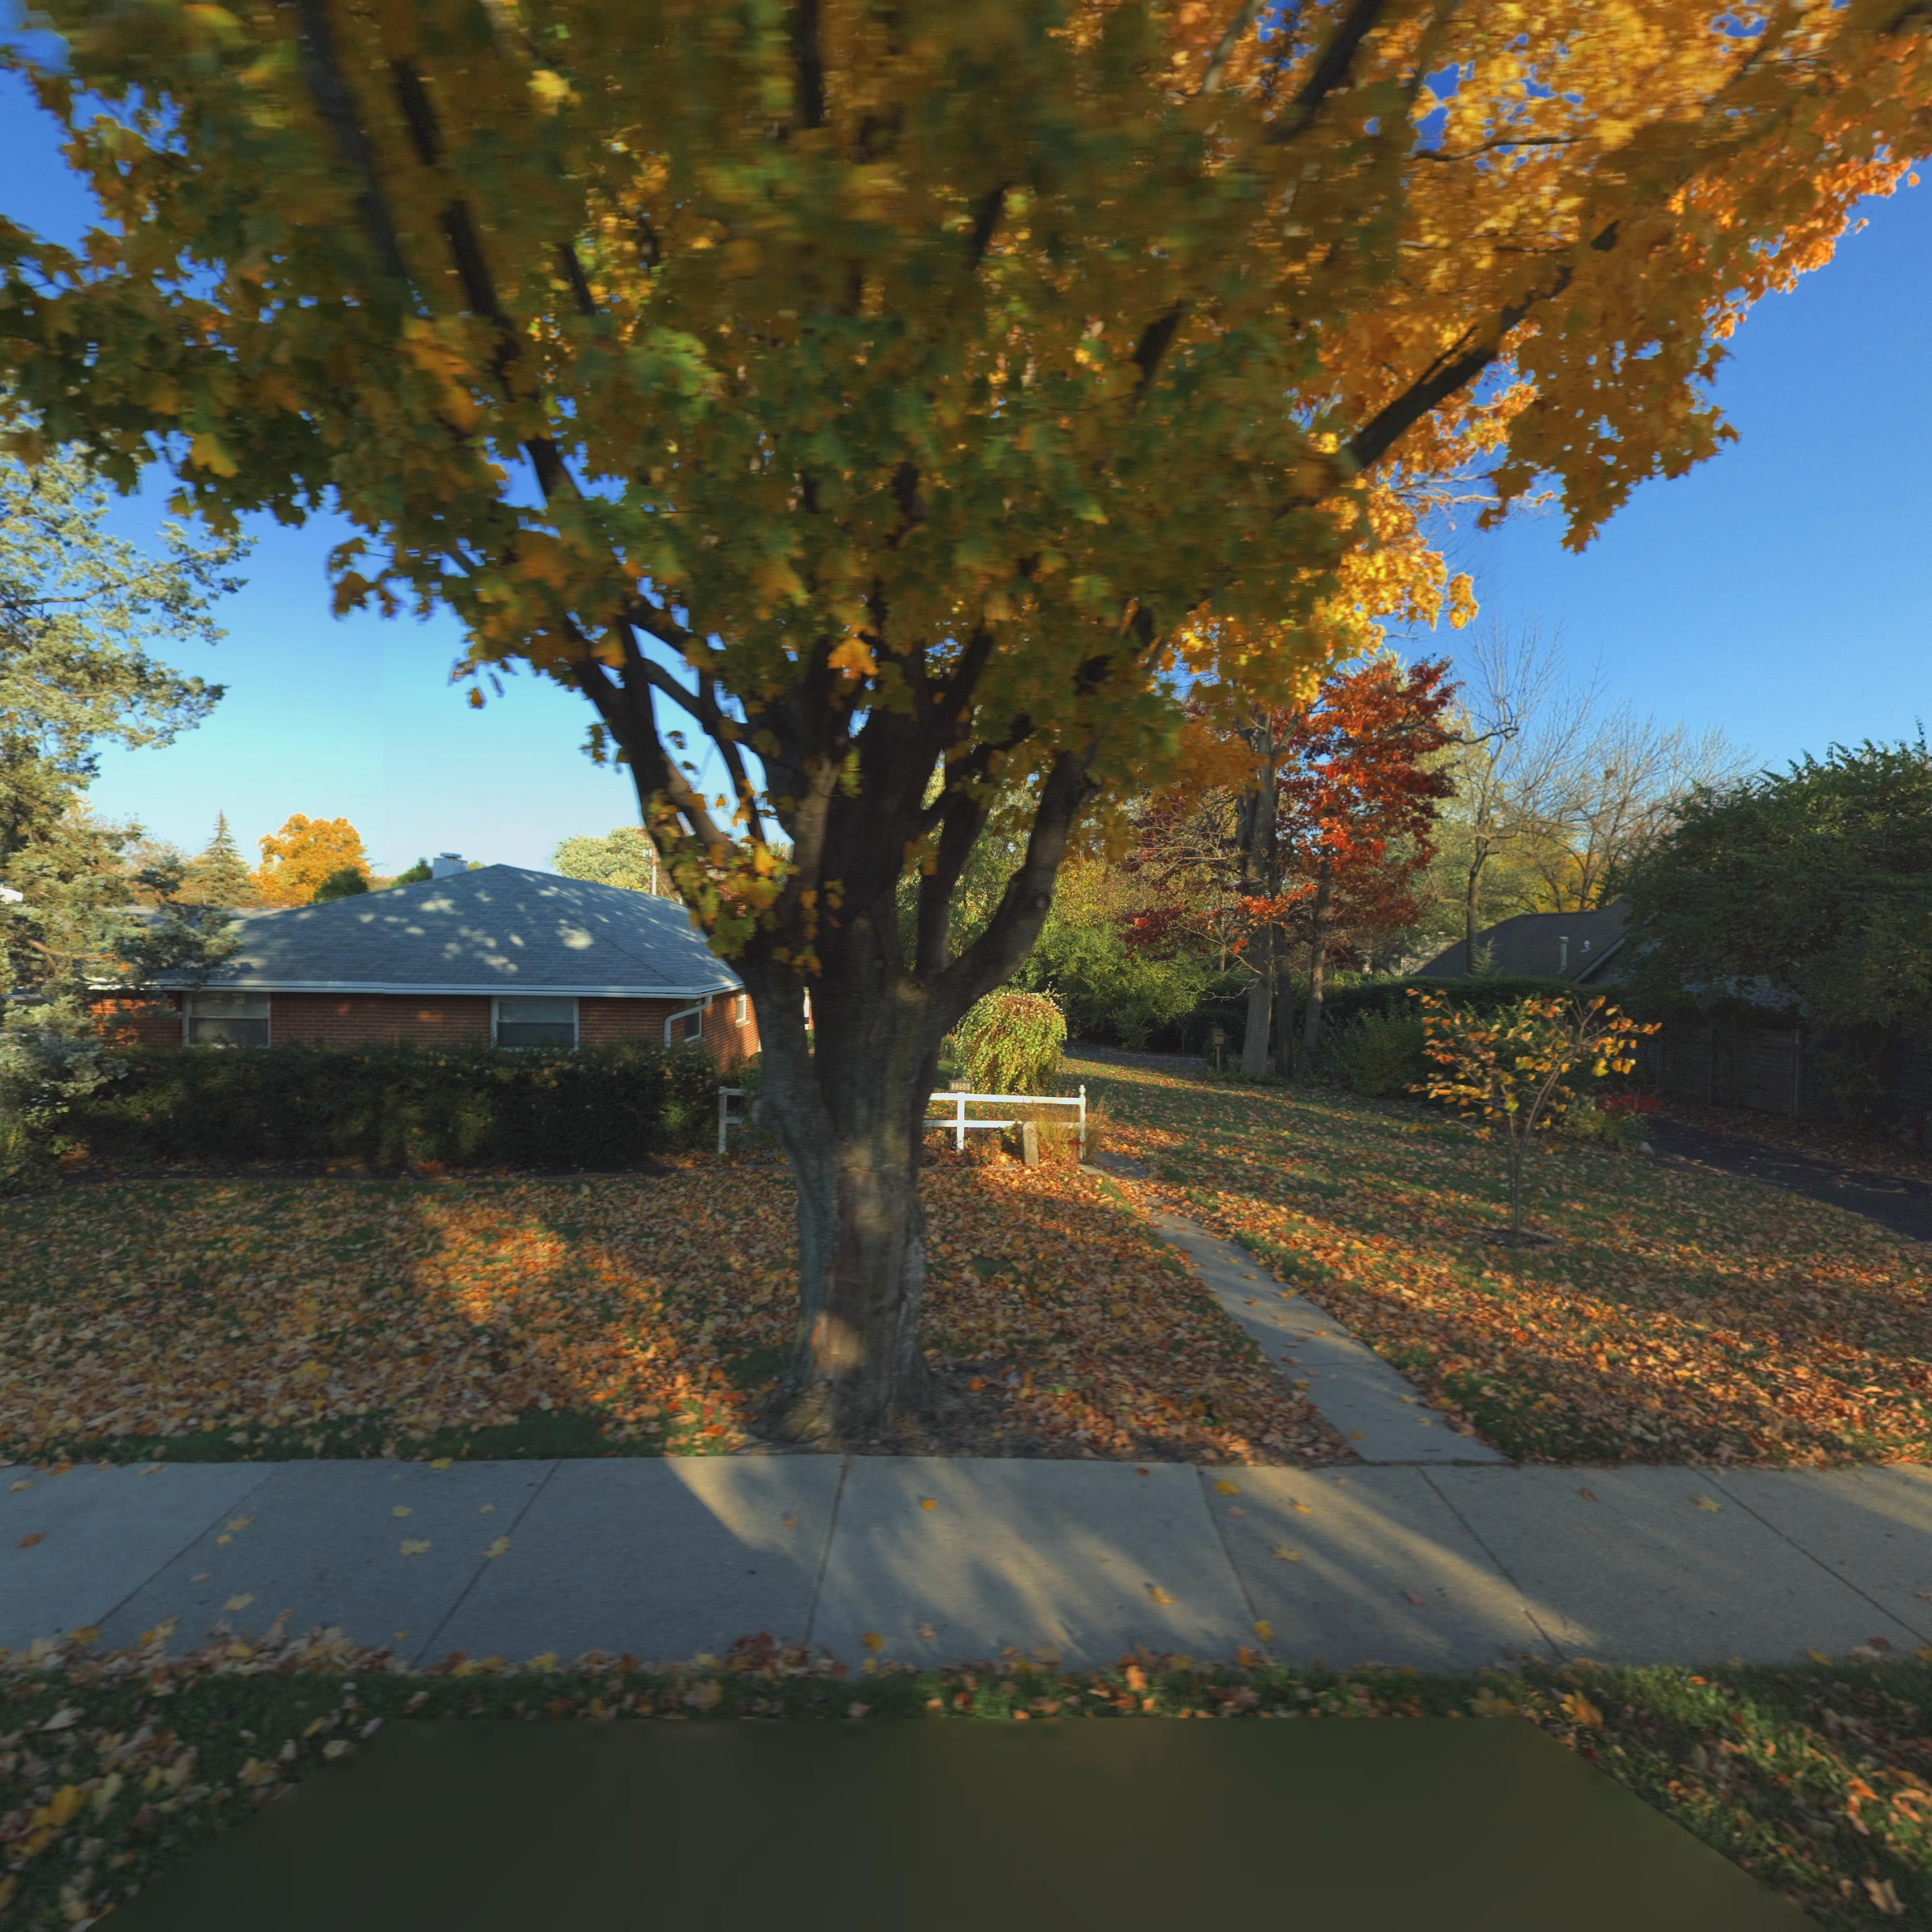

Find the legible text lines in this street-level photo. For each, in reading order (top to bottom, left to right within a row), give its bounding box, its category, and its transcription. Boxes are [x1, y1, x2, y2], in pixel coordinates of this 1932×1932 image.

[952, 1082, 969, 1091] StreetNumber: 3250